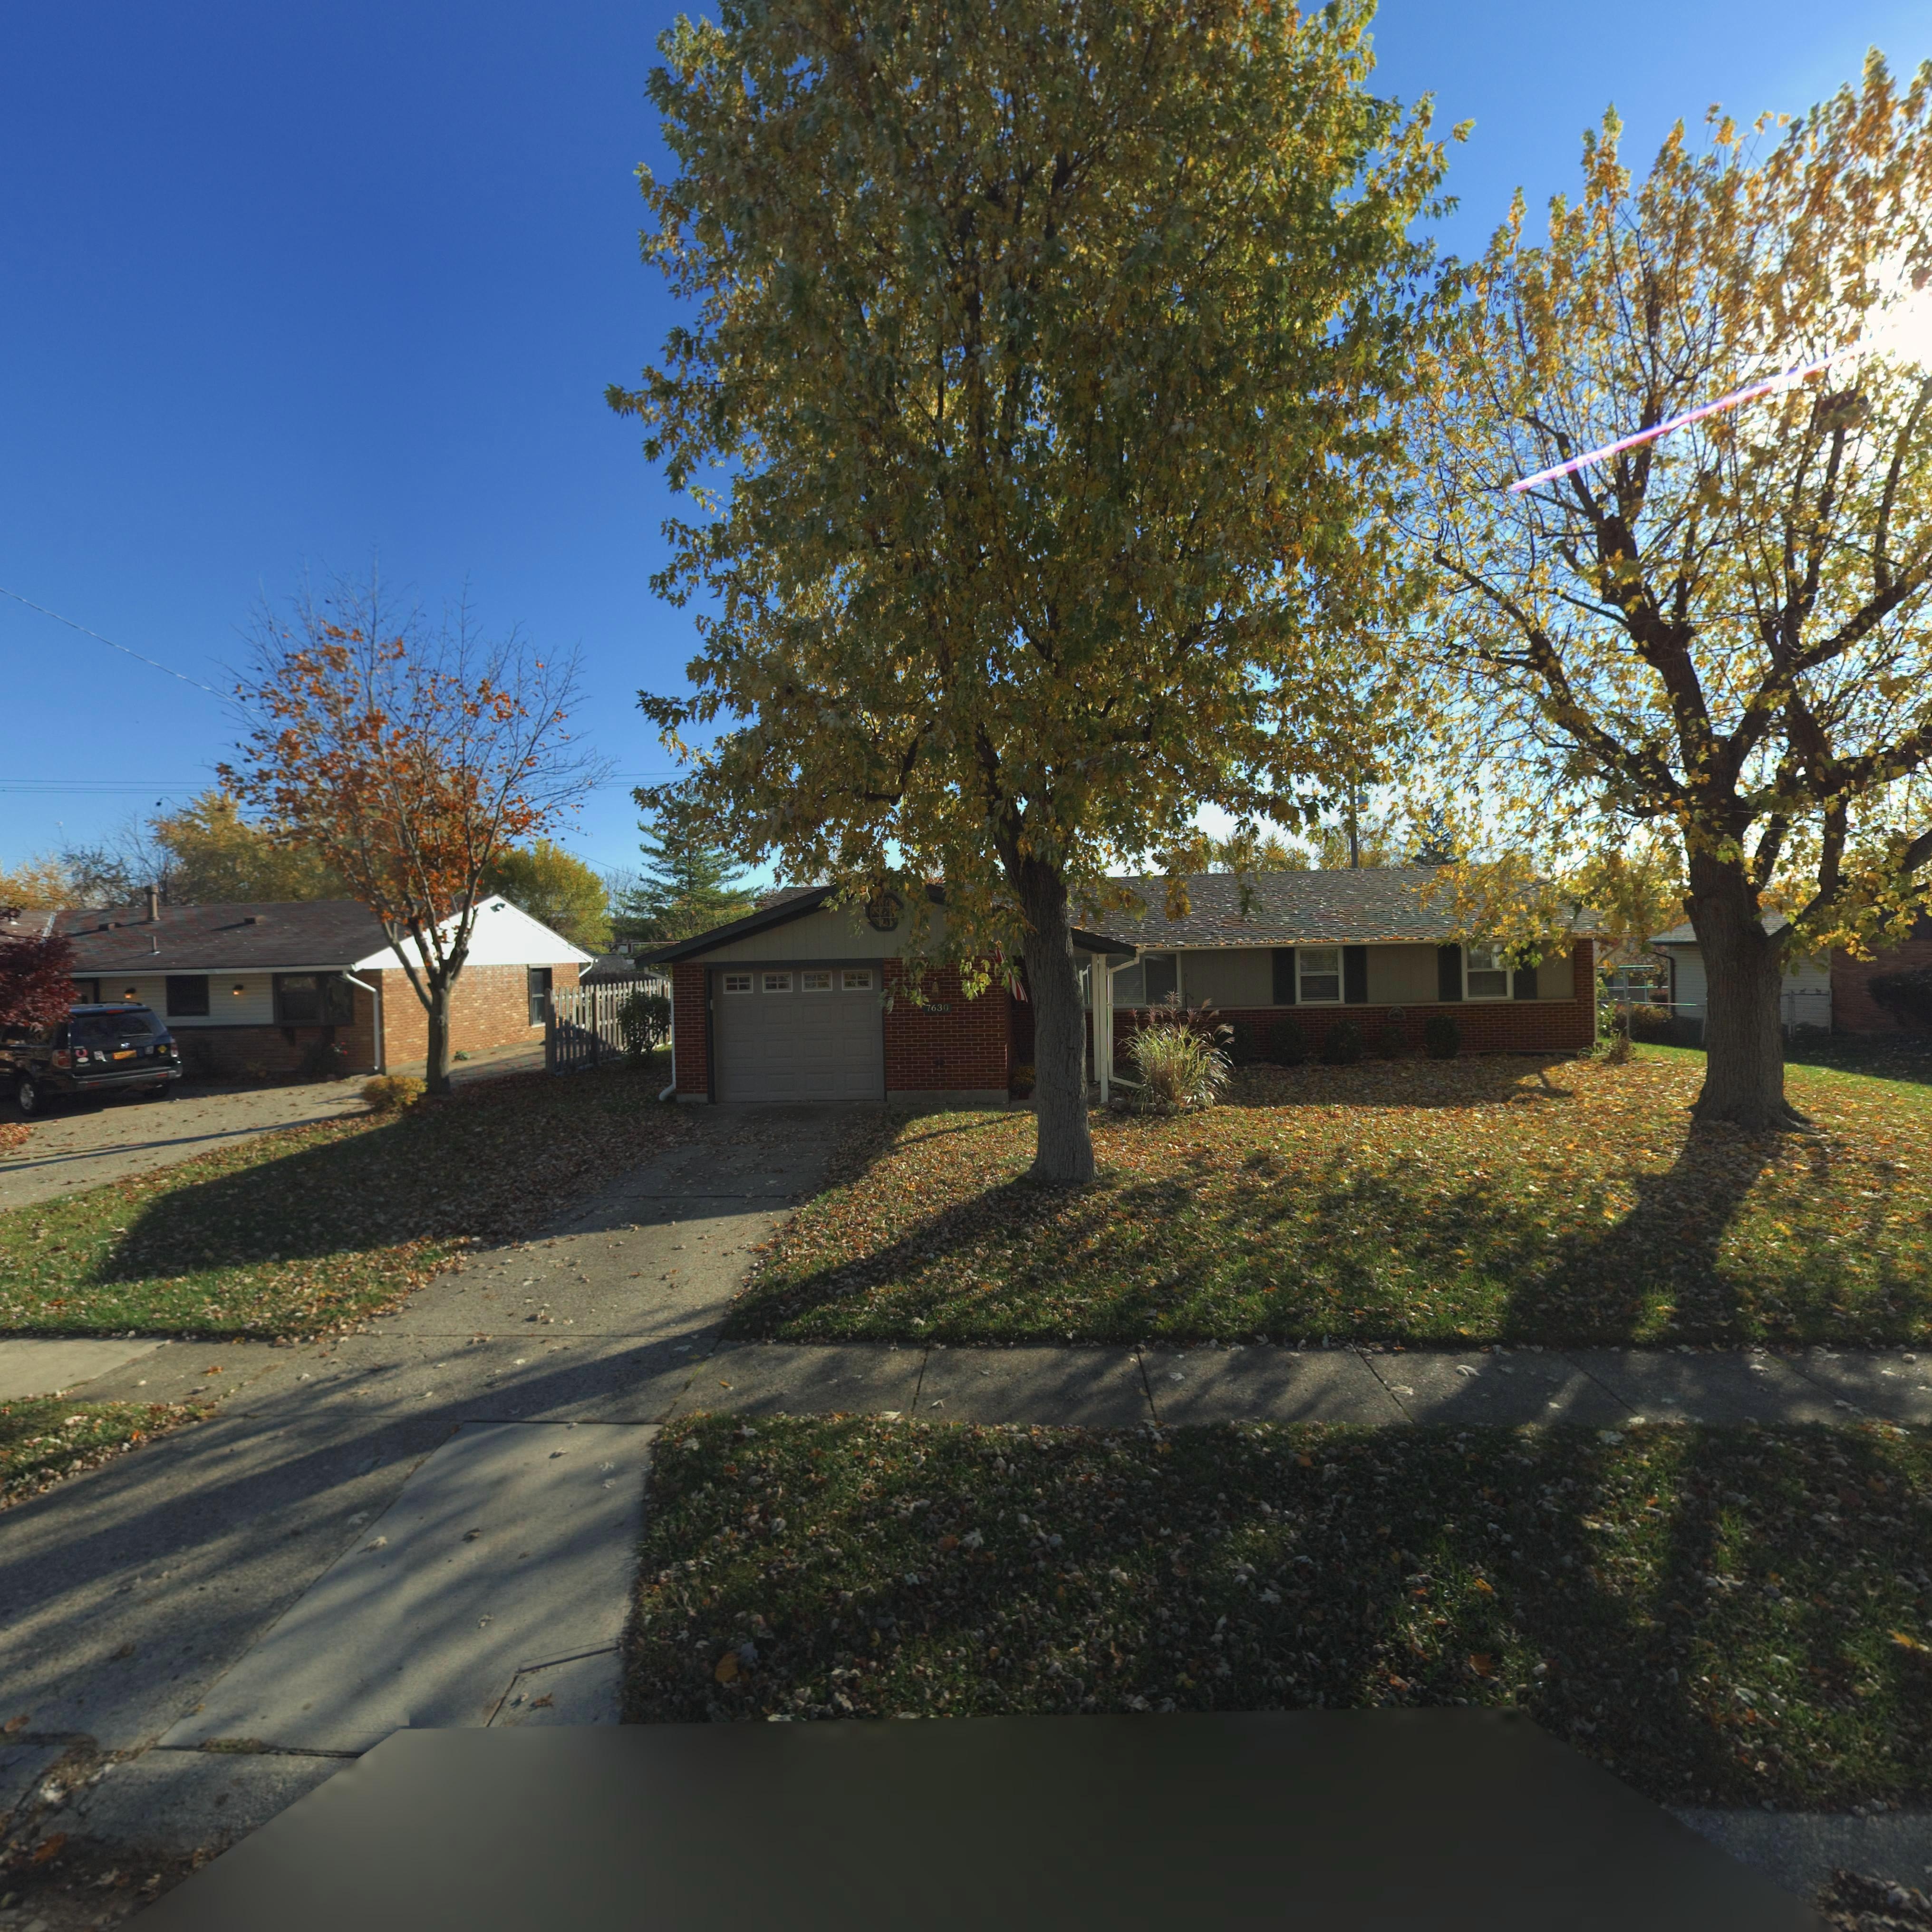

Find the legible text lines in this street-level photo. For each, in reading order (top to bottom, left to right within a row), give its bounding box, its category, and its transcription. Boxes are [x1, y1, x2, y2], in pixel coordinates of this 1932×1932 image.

[924, 1003, 950, 1013] StreetNumber: 7630